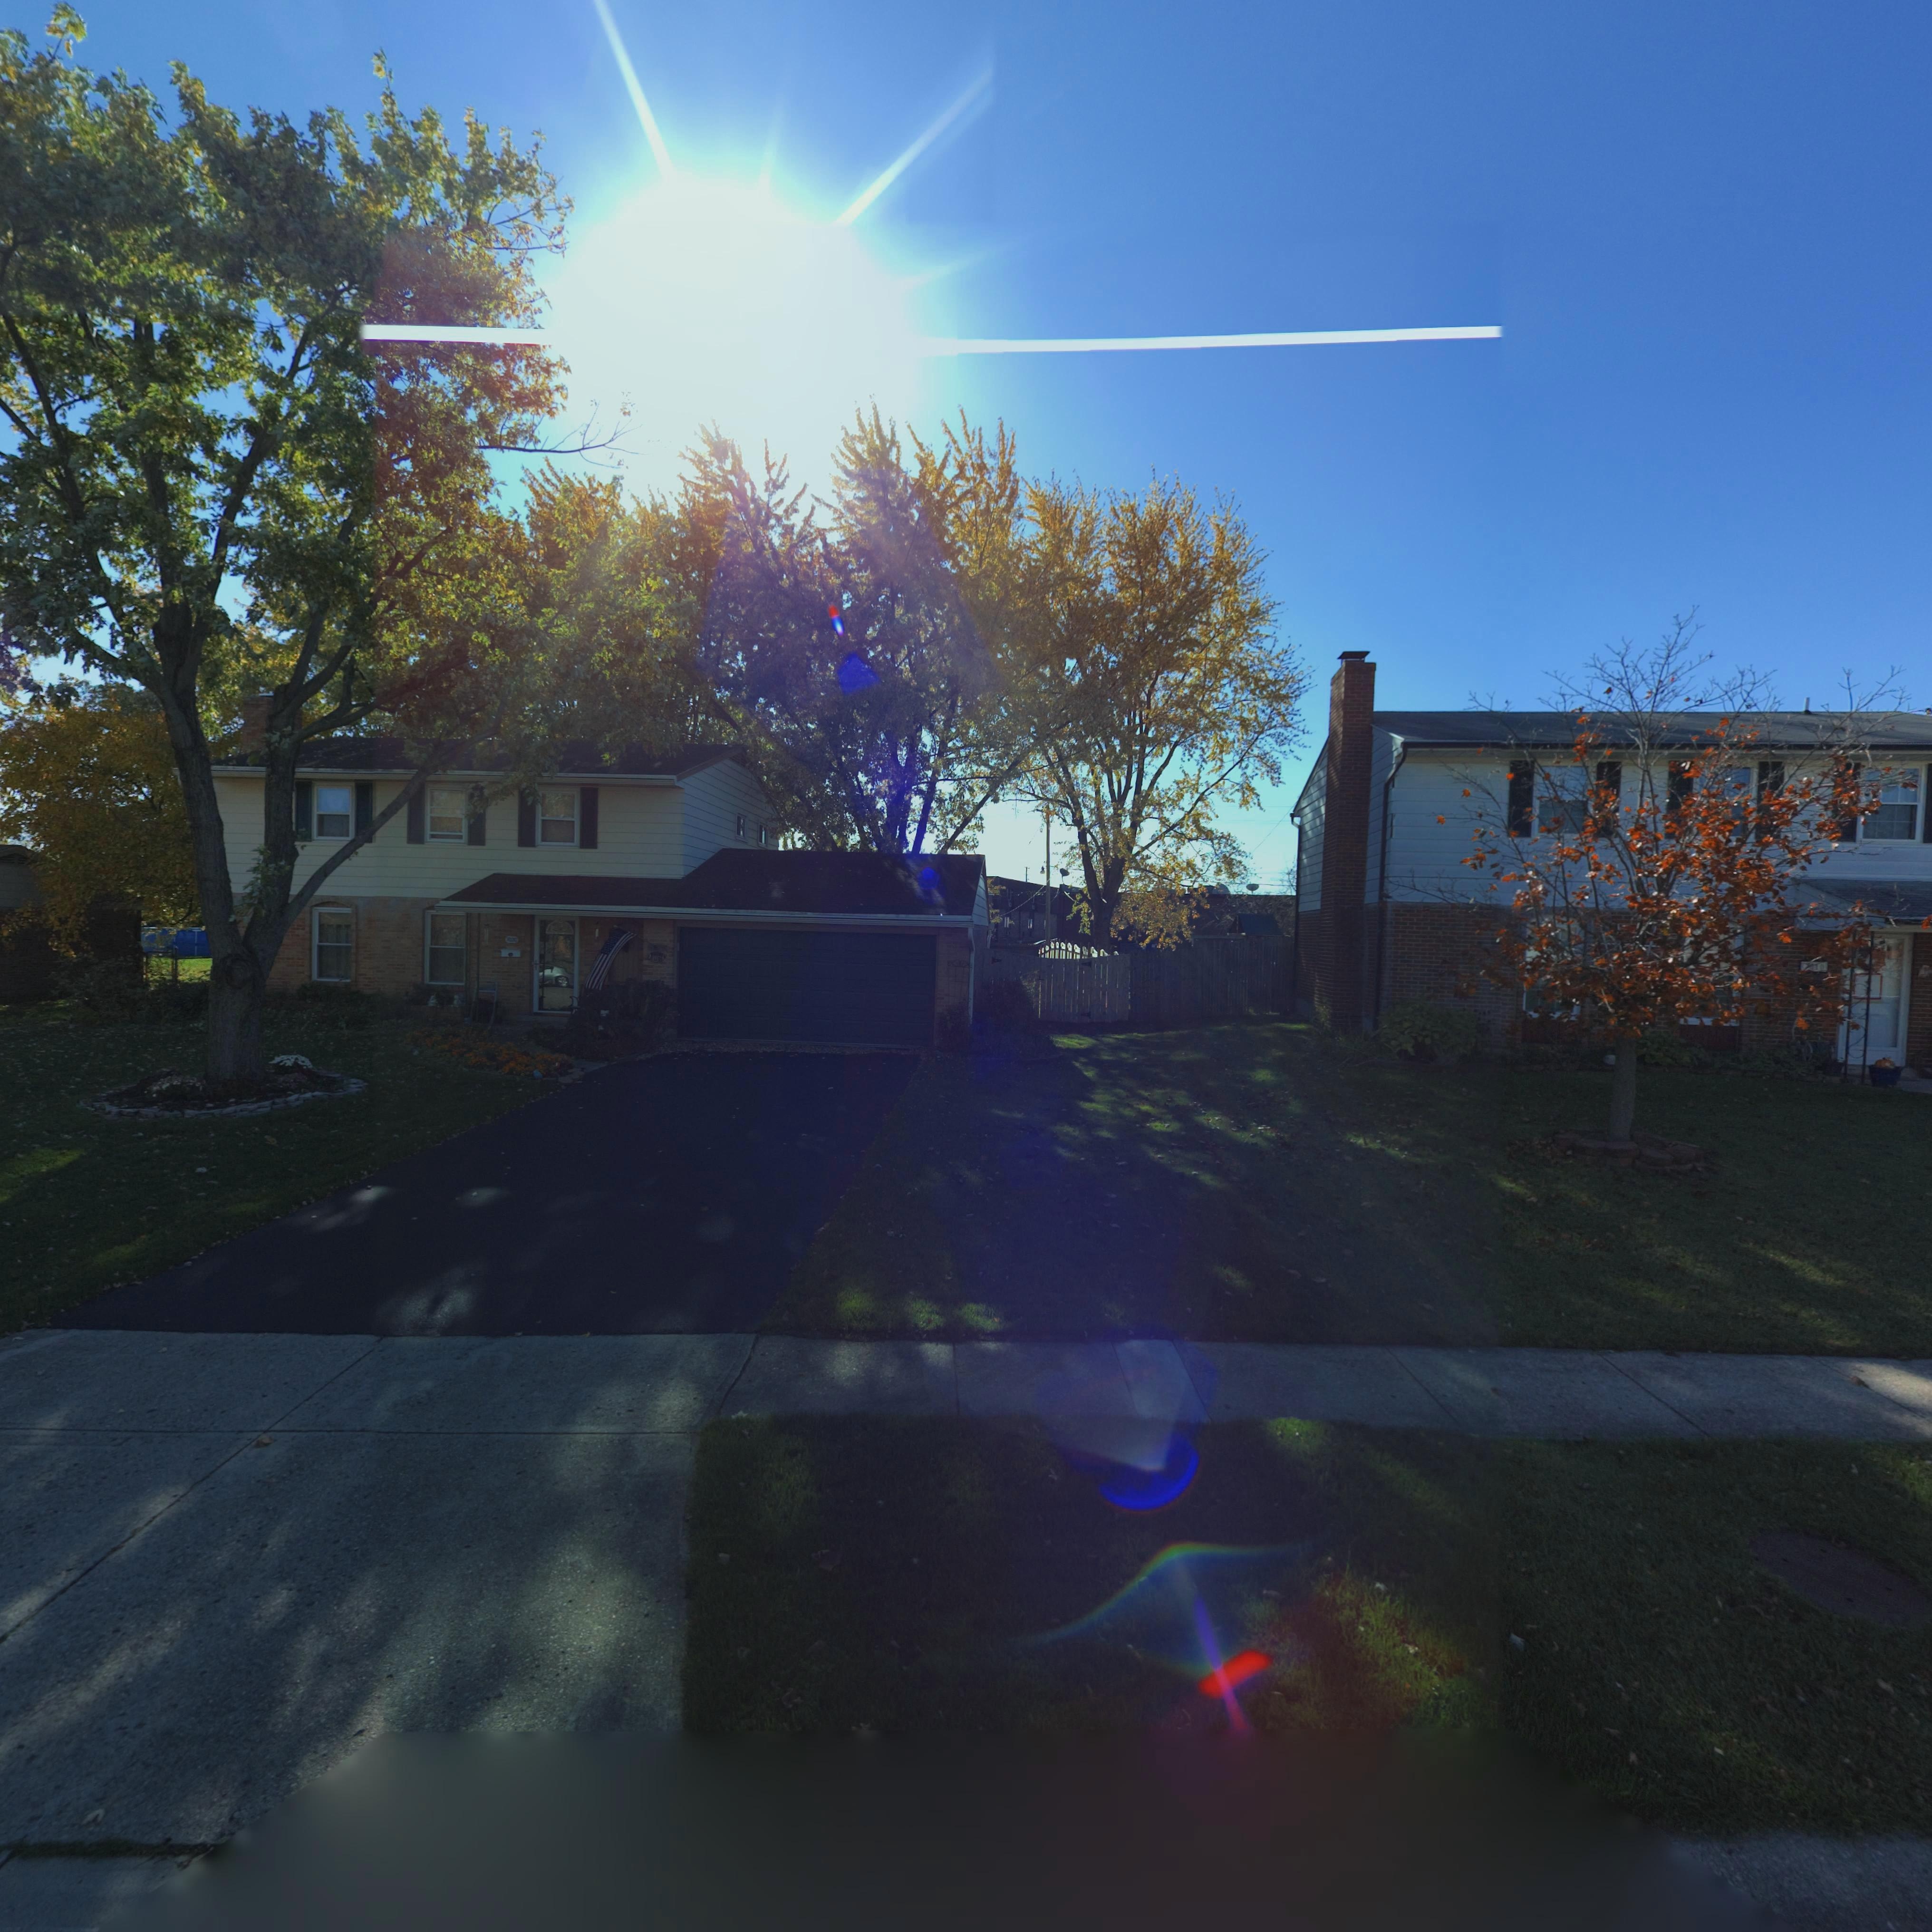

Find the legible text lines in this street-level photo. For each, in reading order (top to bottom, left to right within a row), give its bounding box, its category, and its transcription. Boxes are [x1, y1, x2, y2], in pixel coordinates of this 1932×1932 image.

[506, 937, 518, 942] StreetNumber: 7020
[1815, 963, 1826, 971] StreetNumber: 10